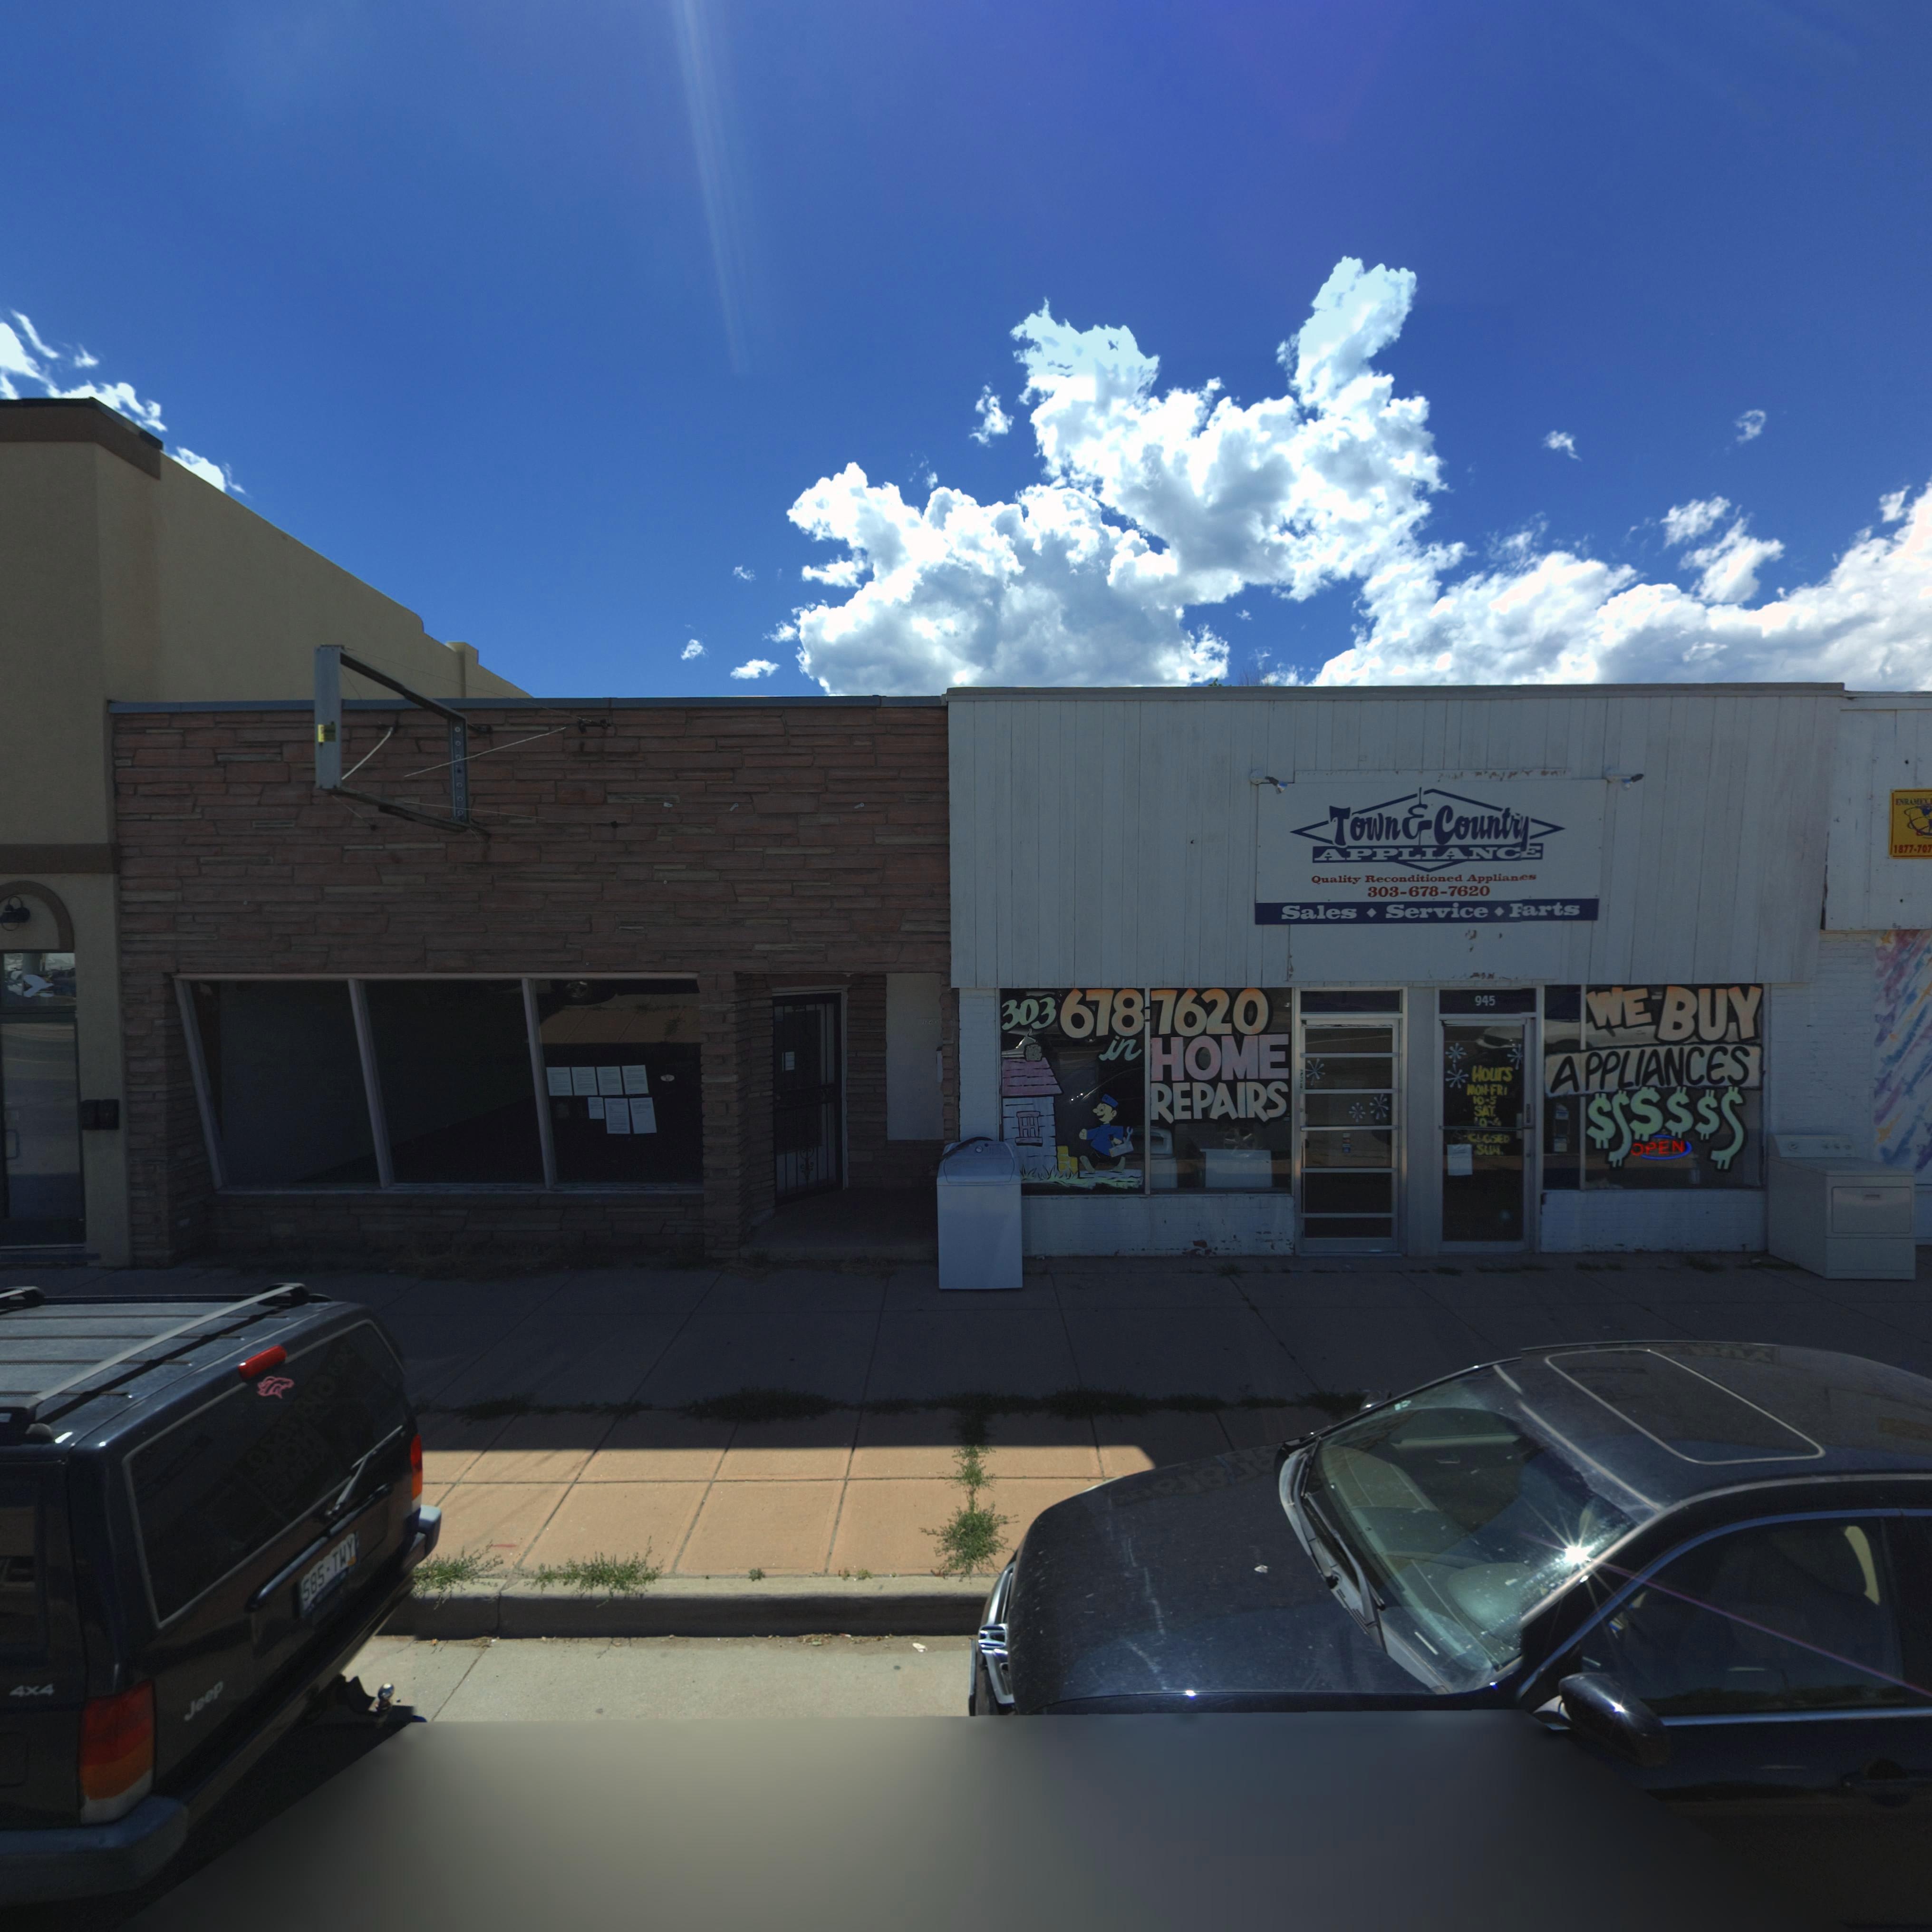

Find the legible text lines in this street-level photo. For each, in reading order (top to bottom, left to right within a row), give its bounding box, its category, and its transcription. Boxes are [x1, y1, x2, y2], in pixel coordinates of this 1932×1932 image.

[1328, 786, 1529, 852] BusinessName: Town * Country
[1313, 845, 1541, 861] BusinessName: APPLIANCE
[1474, 995, 1495, 1006] StreetNumber: 945